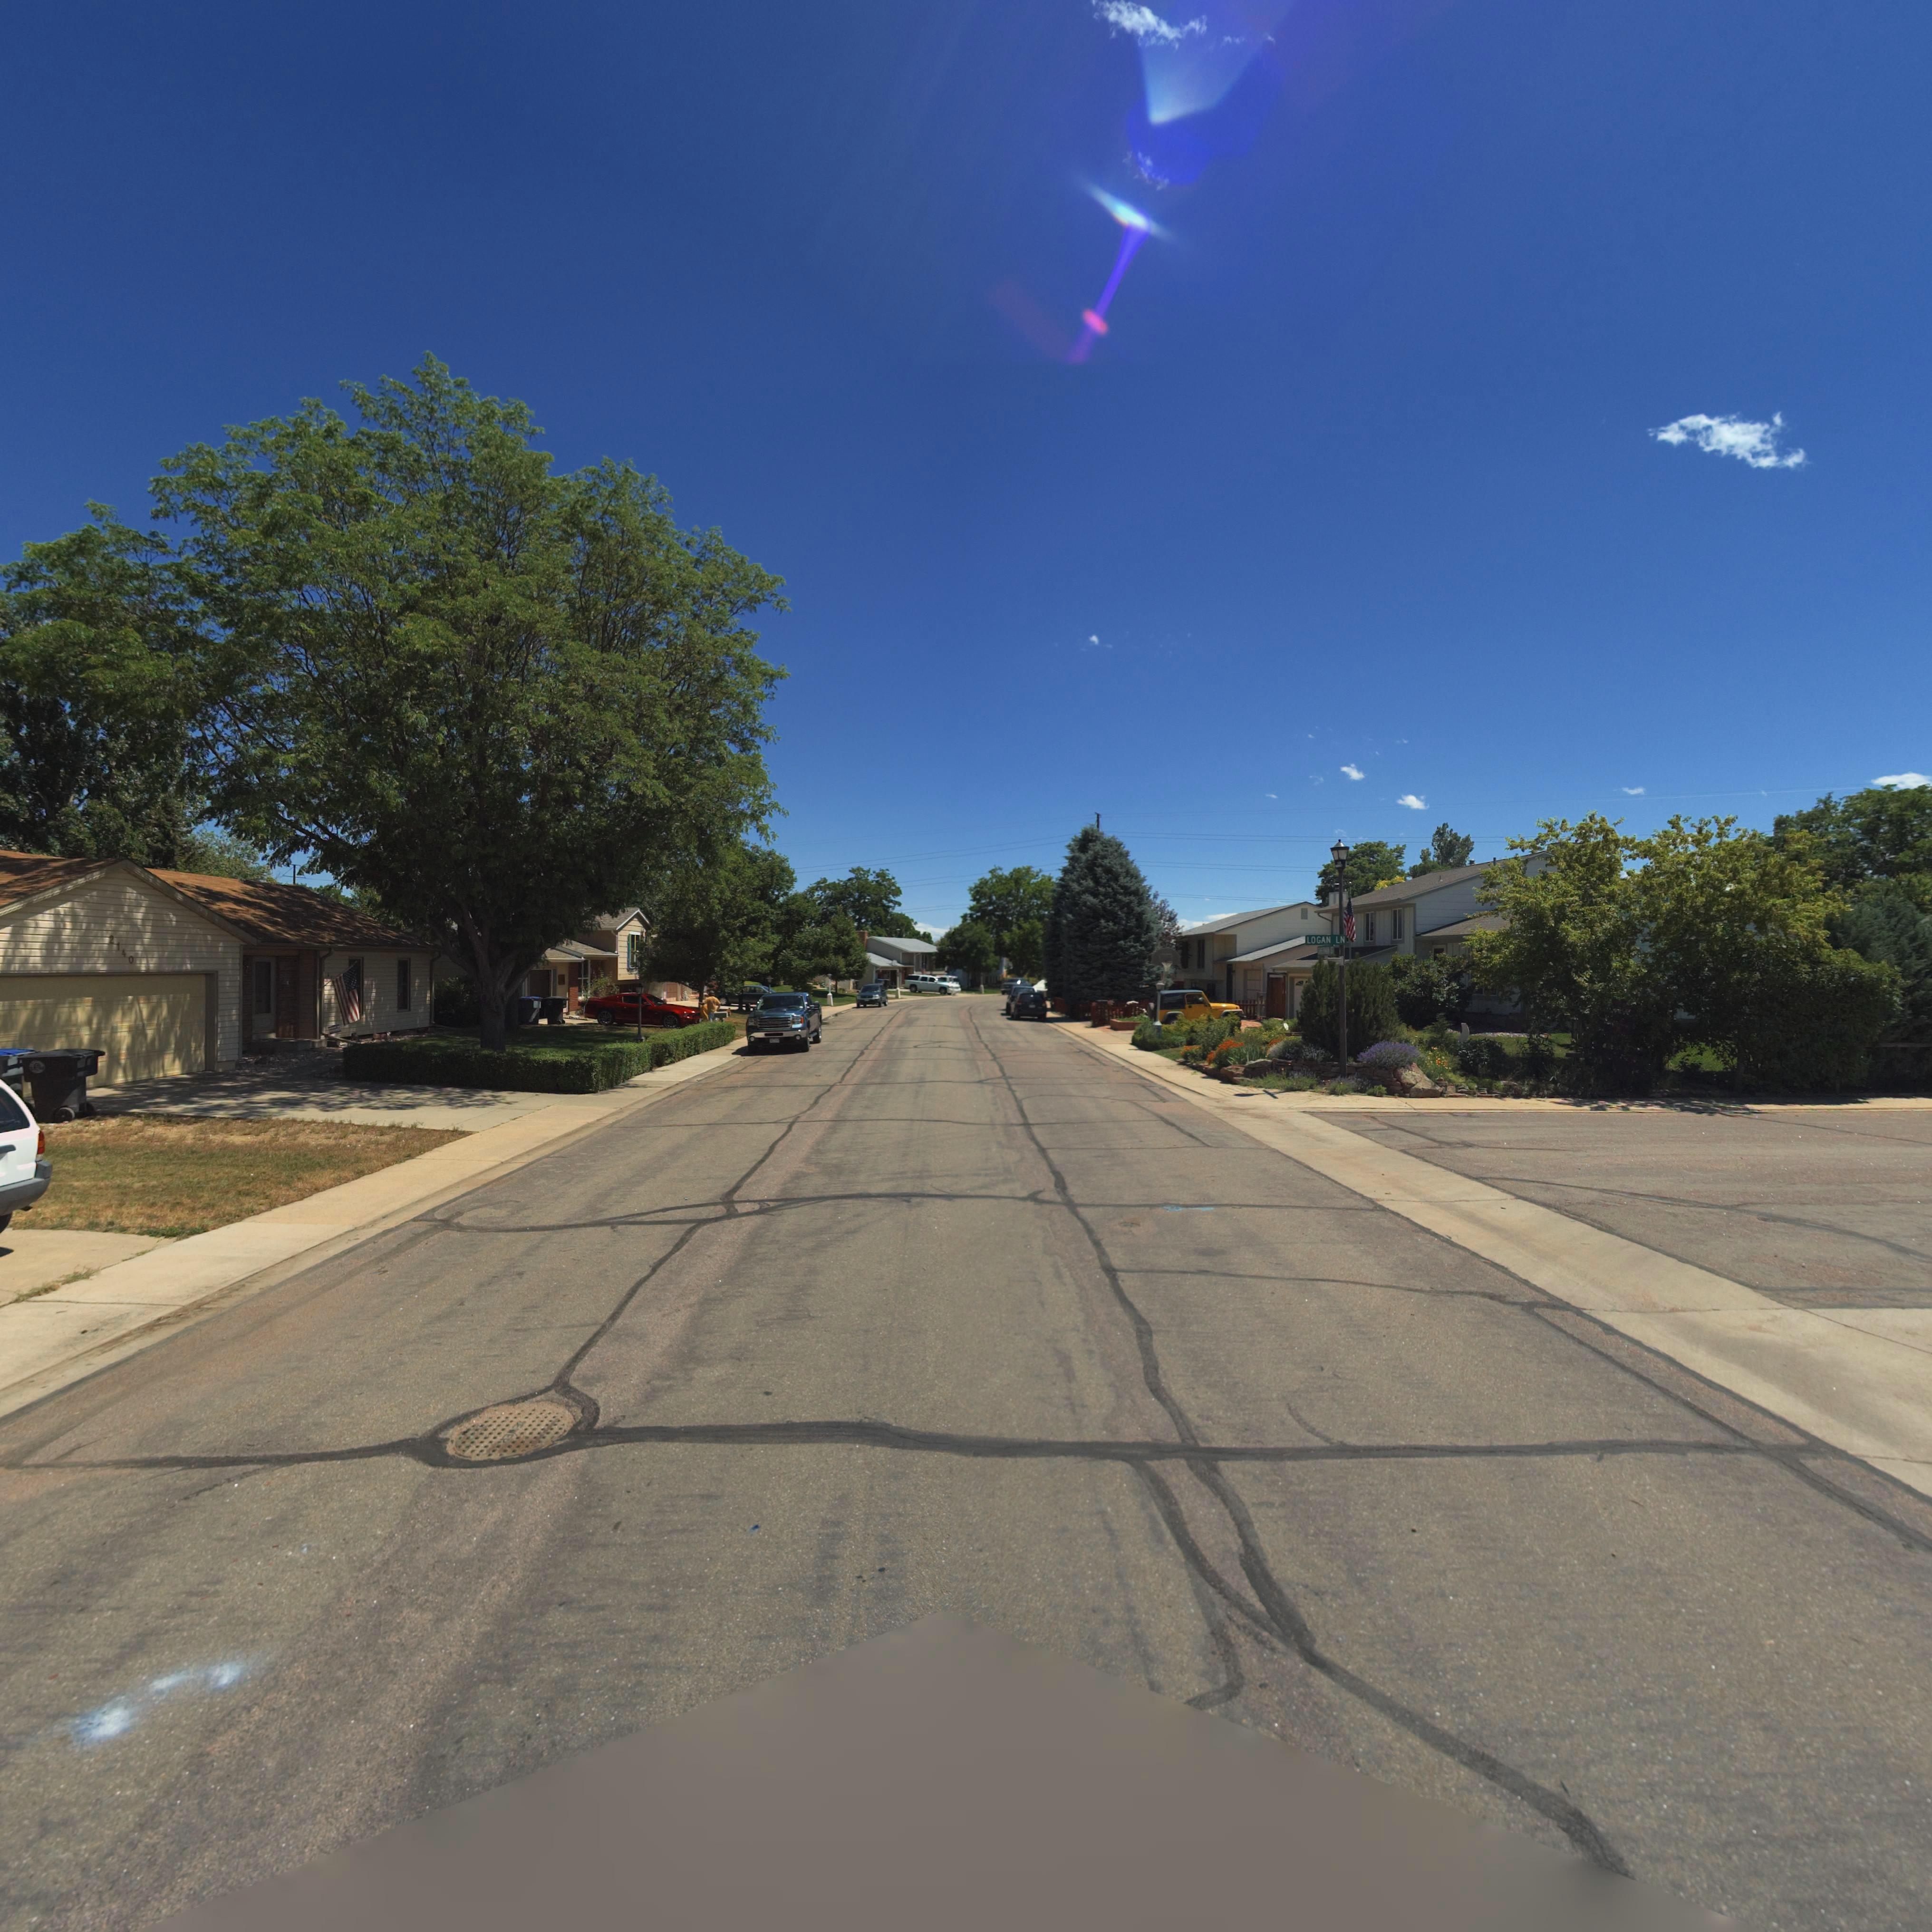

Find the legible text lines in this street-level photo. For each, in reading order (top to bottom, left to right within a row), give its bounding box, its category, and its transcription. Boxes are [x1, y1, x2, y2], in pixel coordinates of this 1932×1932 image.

[108, 934, 135, 966] StreetNumber: 2140
[1306, 936, 1345, 944] StreetName: LOGAN LN